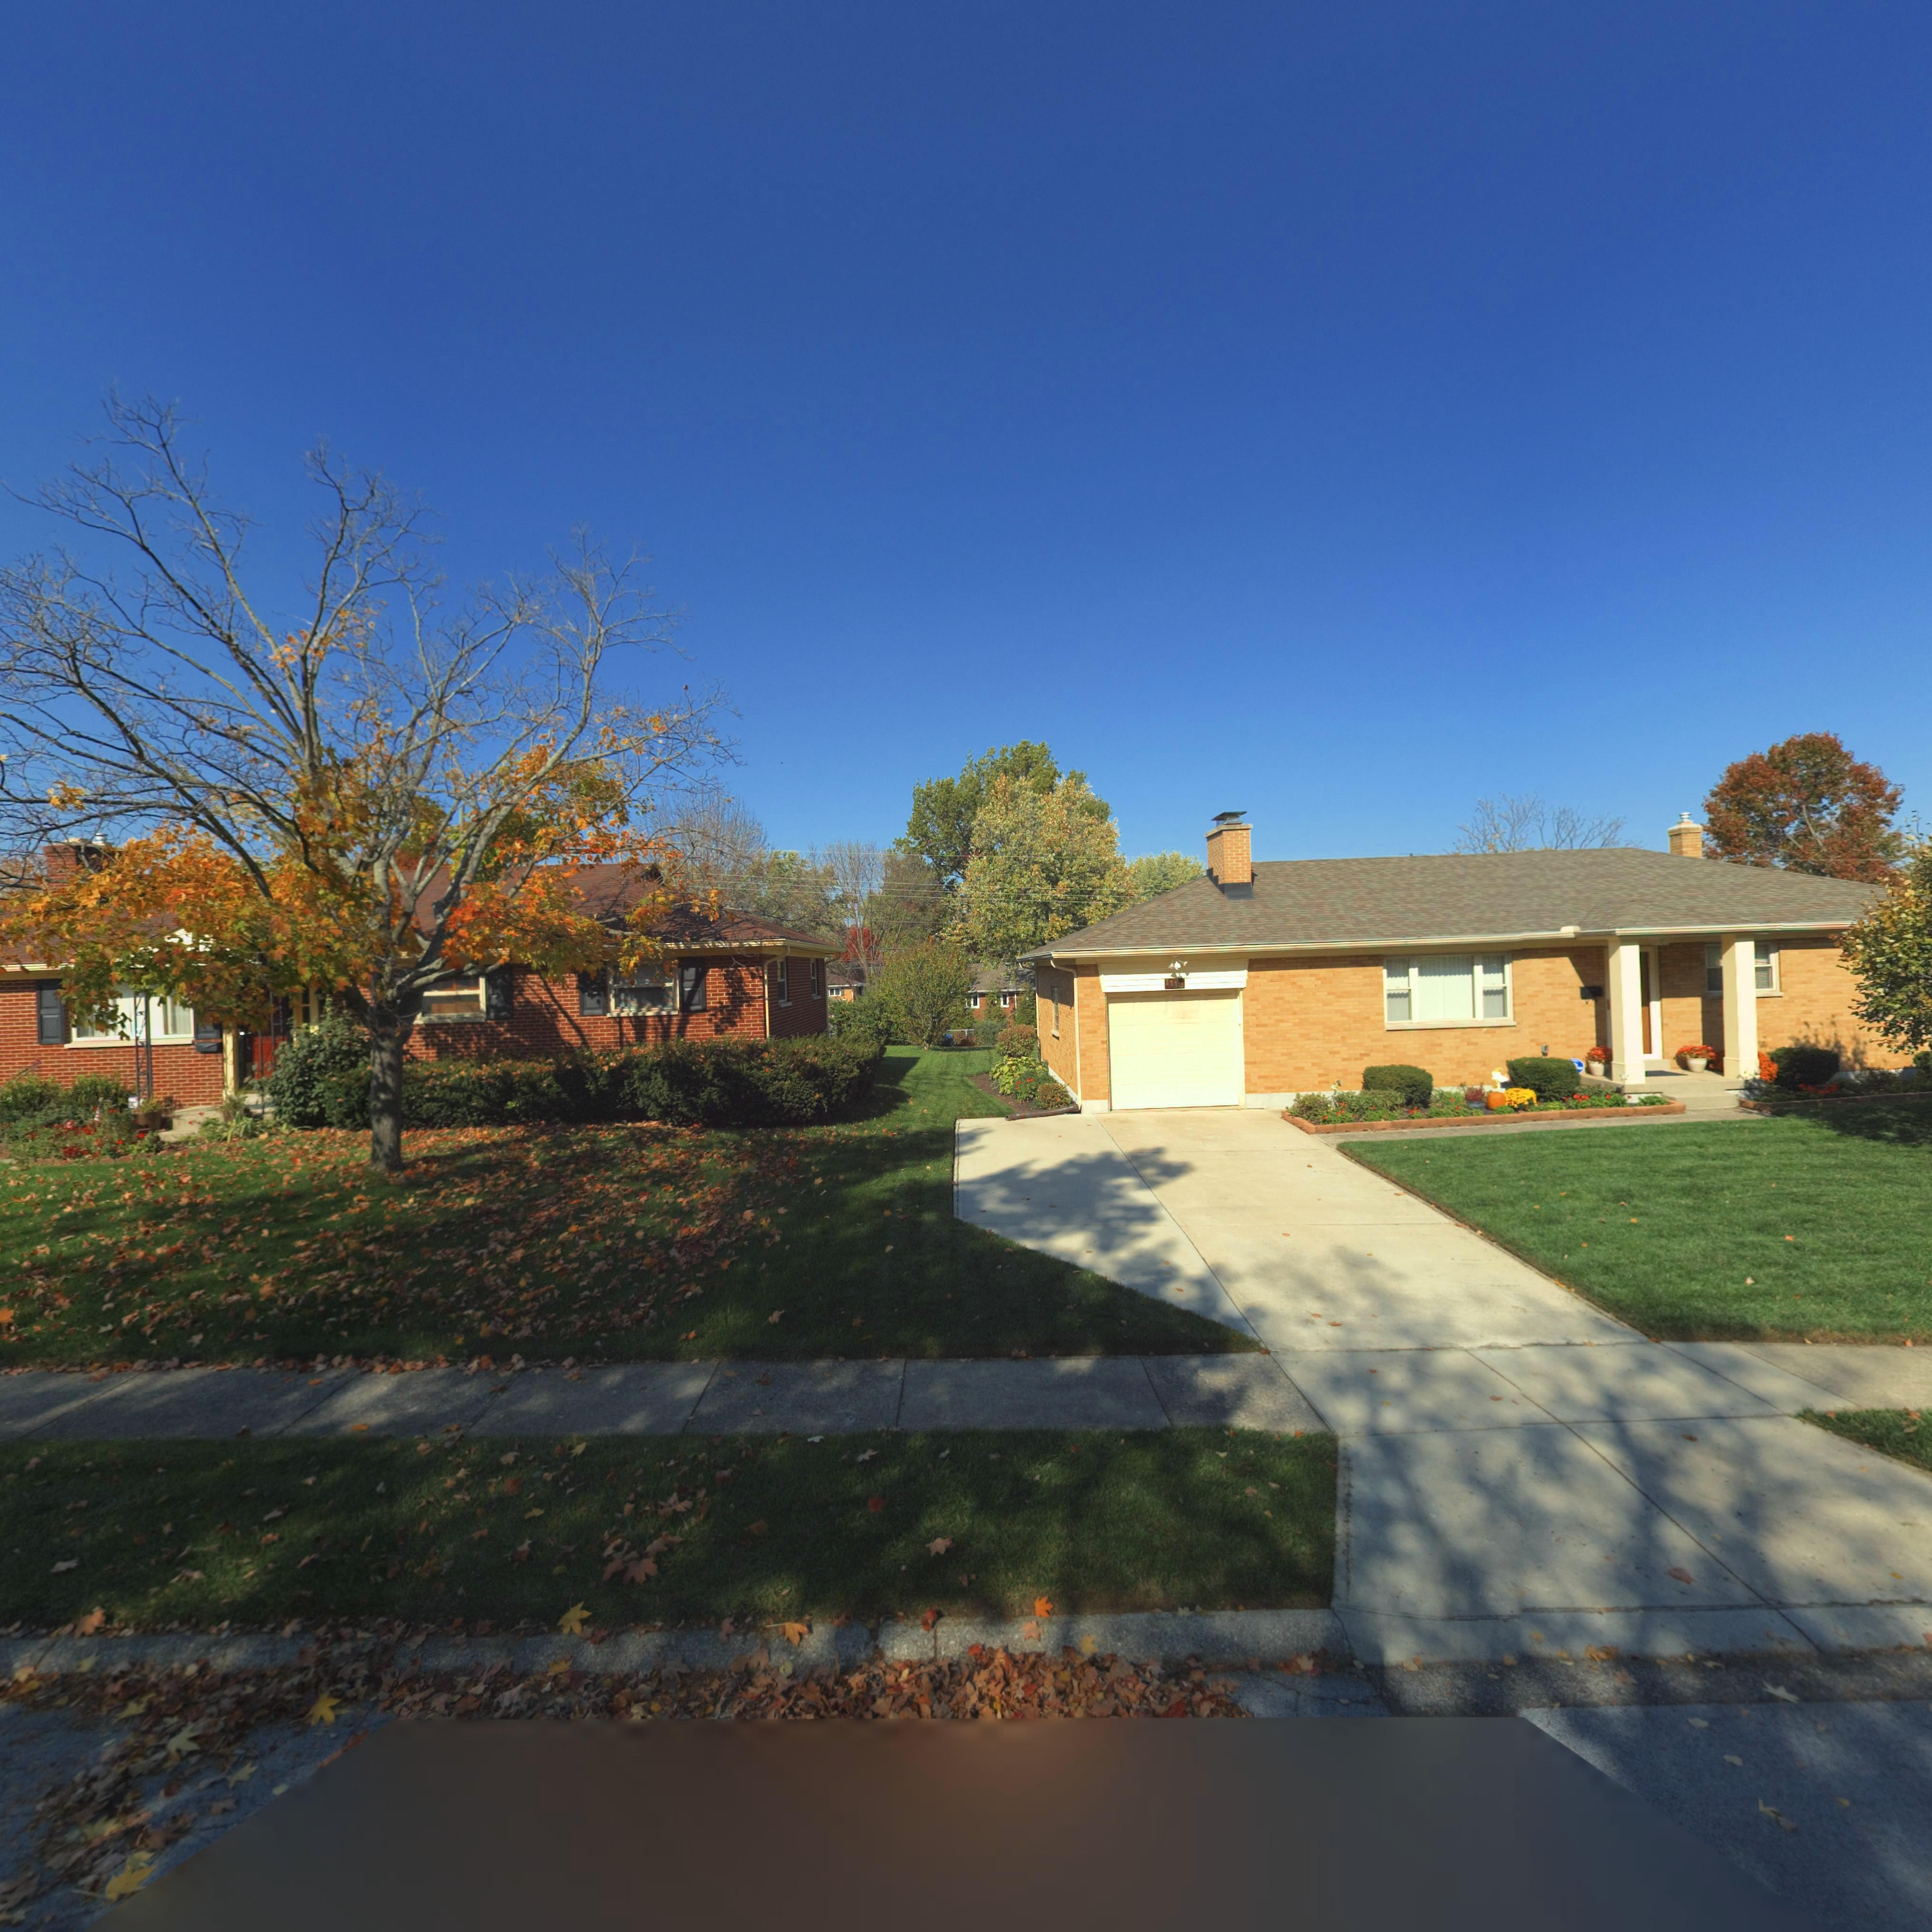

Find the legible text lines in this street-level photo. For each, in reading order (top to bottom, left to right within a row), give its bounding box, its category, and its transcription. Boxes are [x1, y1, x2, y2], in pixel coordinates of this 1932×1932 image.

[1165, 978, 1184, 988] StreetNumber: 1113